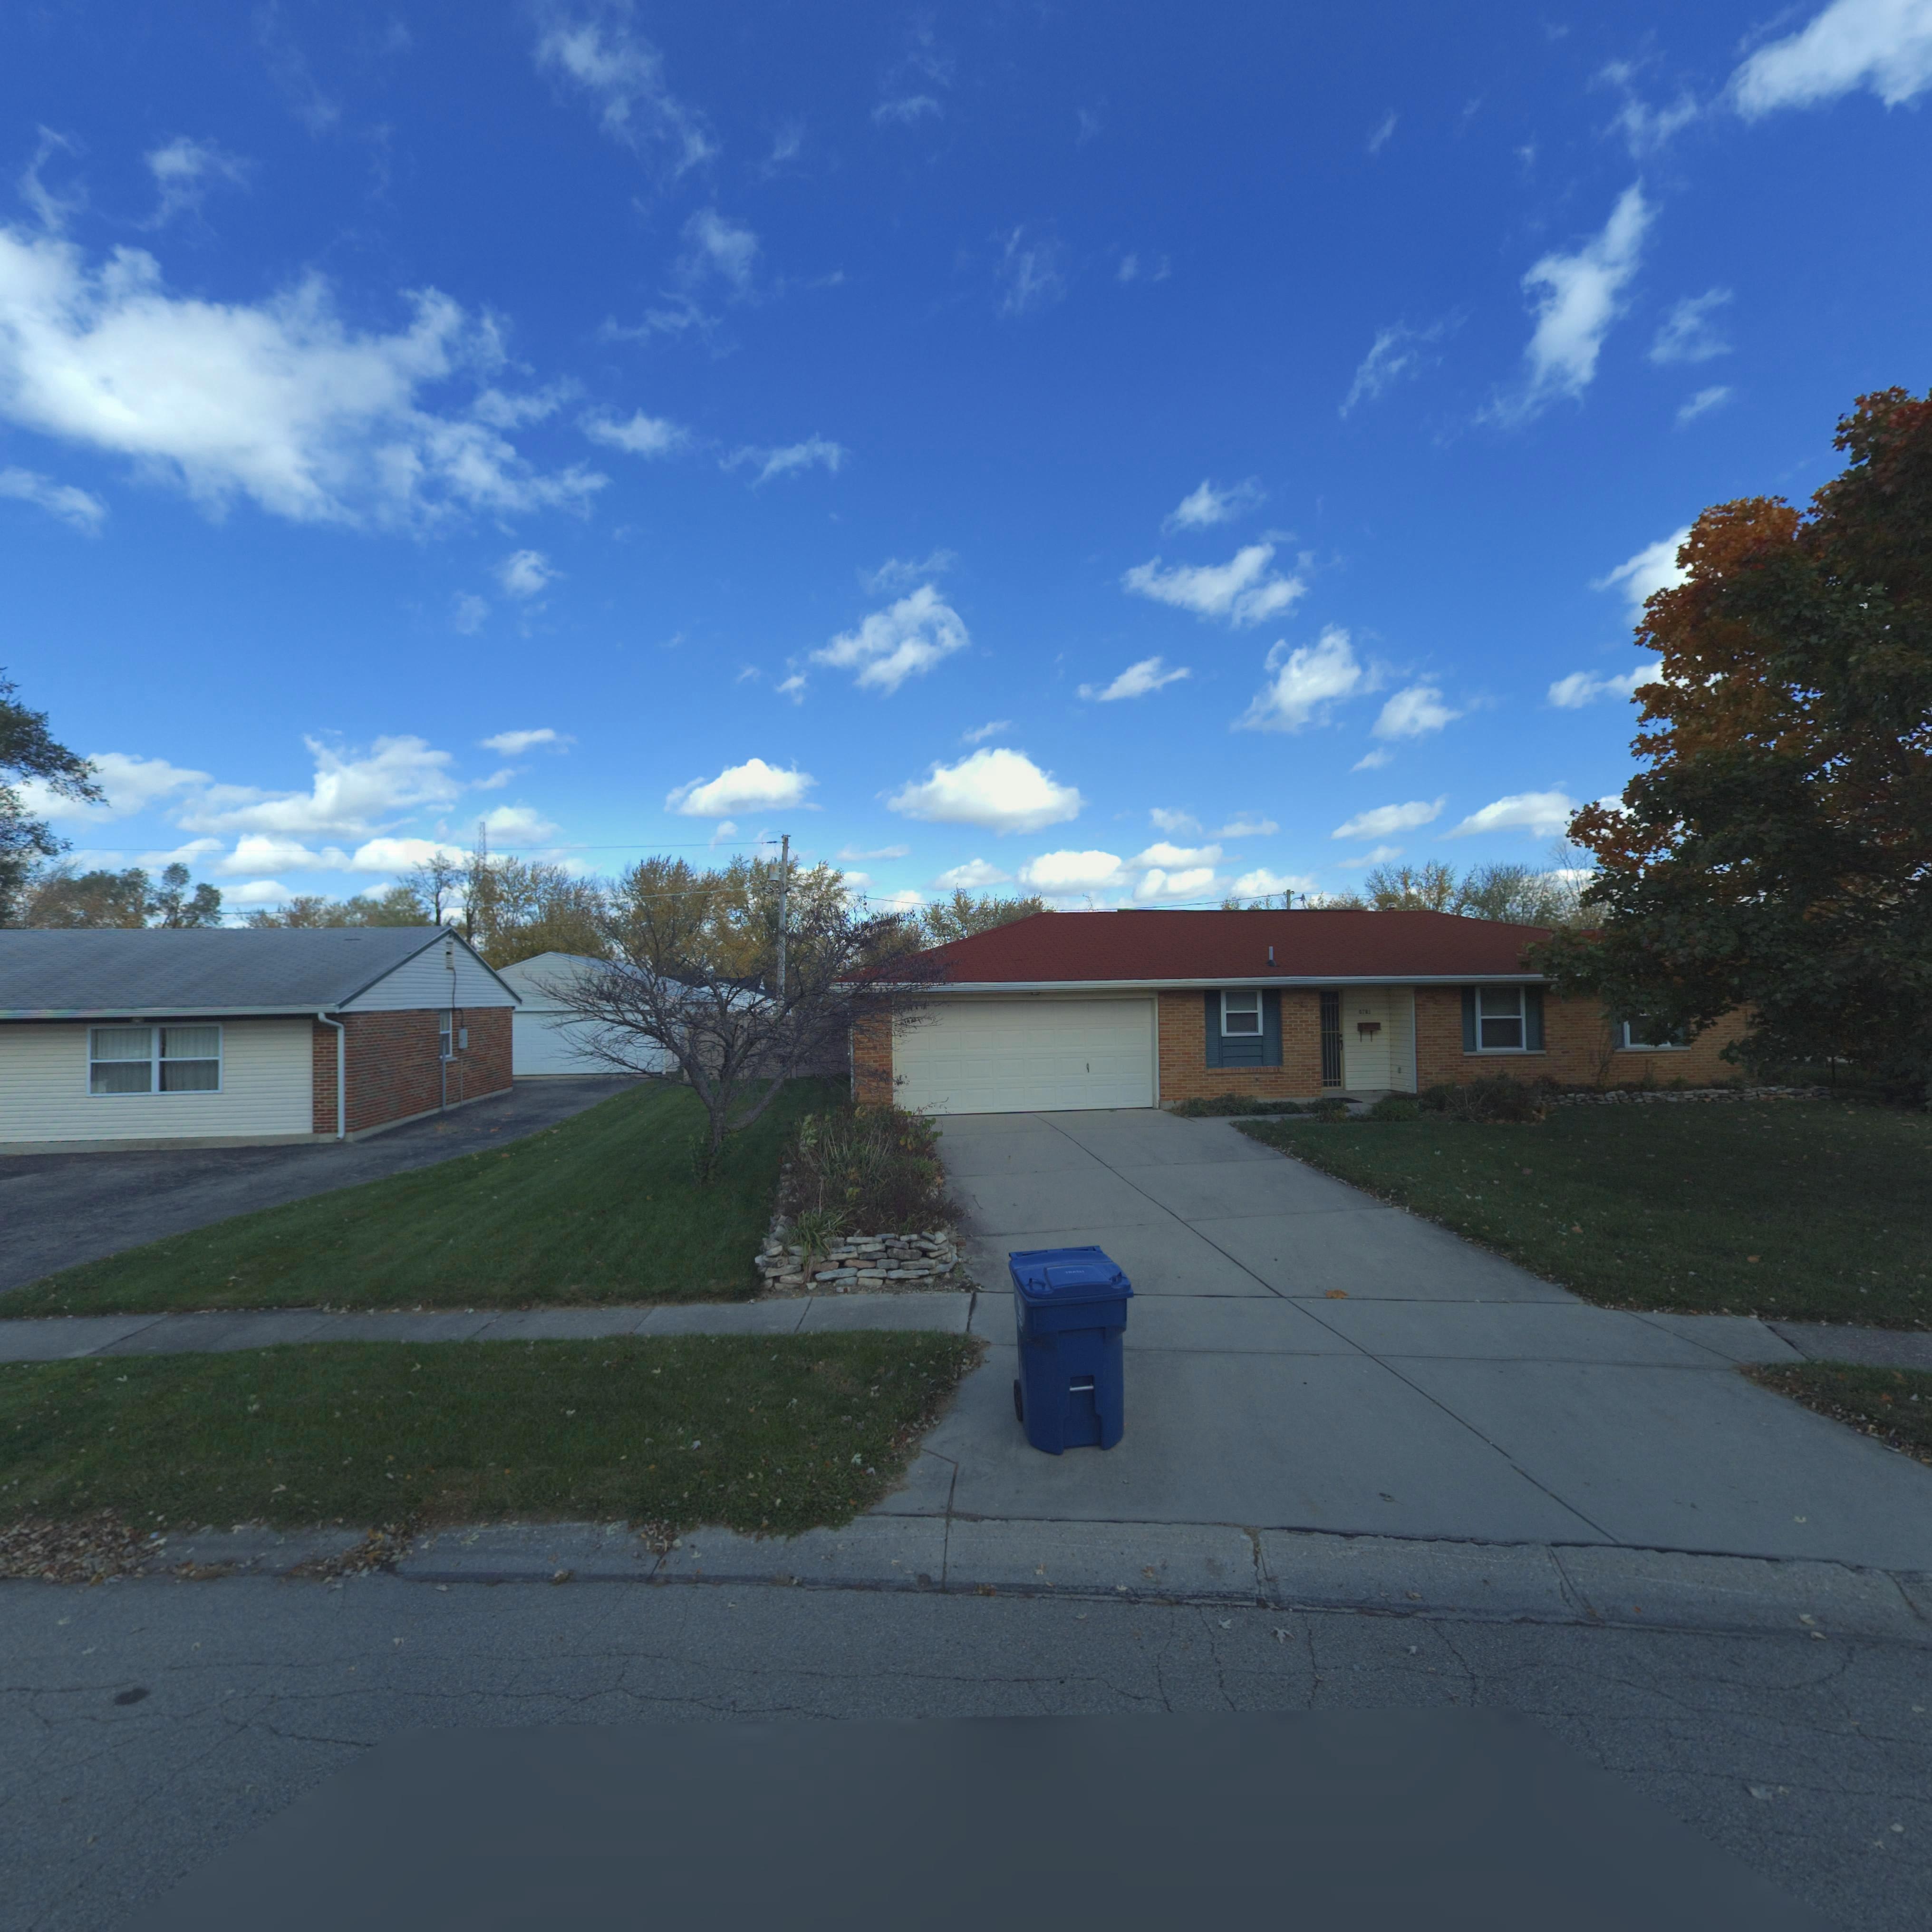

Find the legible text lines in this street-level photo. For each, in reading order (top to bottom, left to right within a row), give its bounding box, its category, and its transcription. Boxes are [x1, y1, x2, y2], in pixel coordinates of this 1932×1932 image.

[1358, 1009, 1371, 1015] StreetNumber: 6781